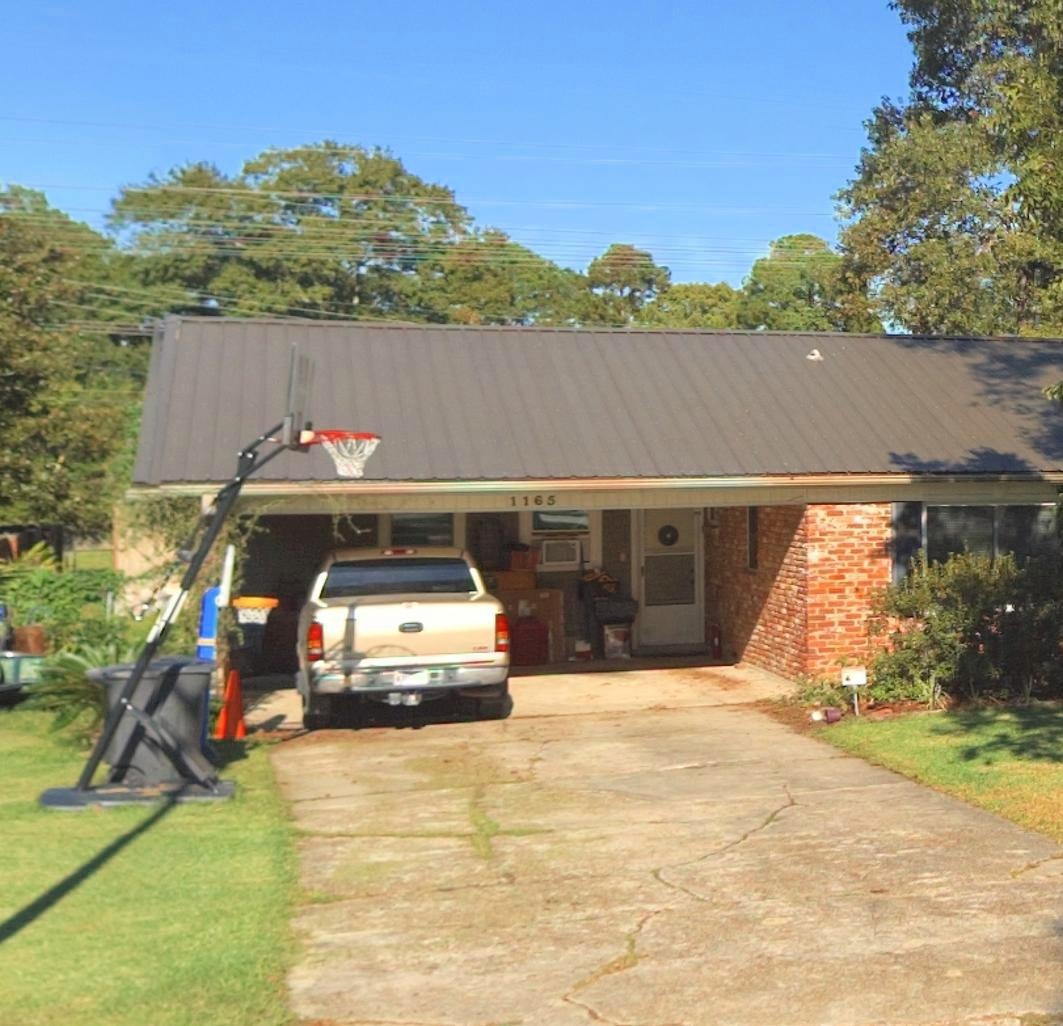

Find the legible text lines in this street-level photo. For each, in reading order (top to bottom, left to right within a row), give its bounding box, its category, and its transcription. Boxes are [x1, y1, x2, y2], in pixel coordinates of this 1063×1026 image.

[509, 494, 556, 508] StreetNumber: 1165